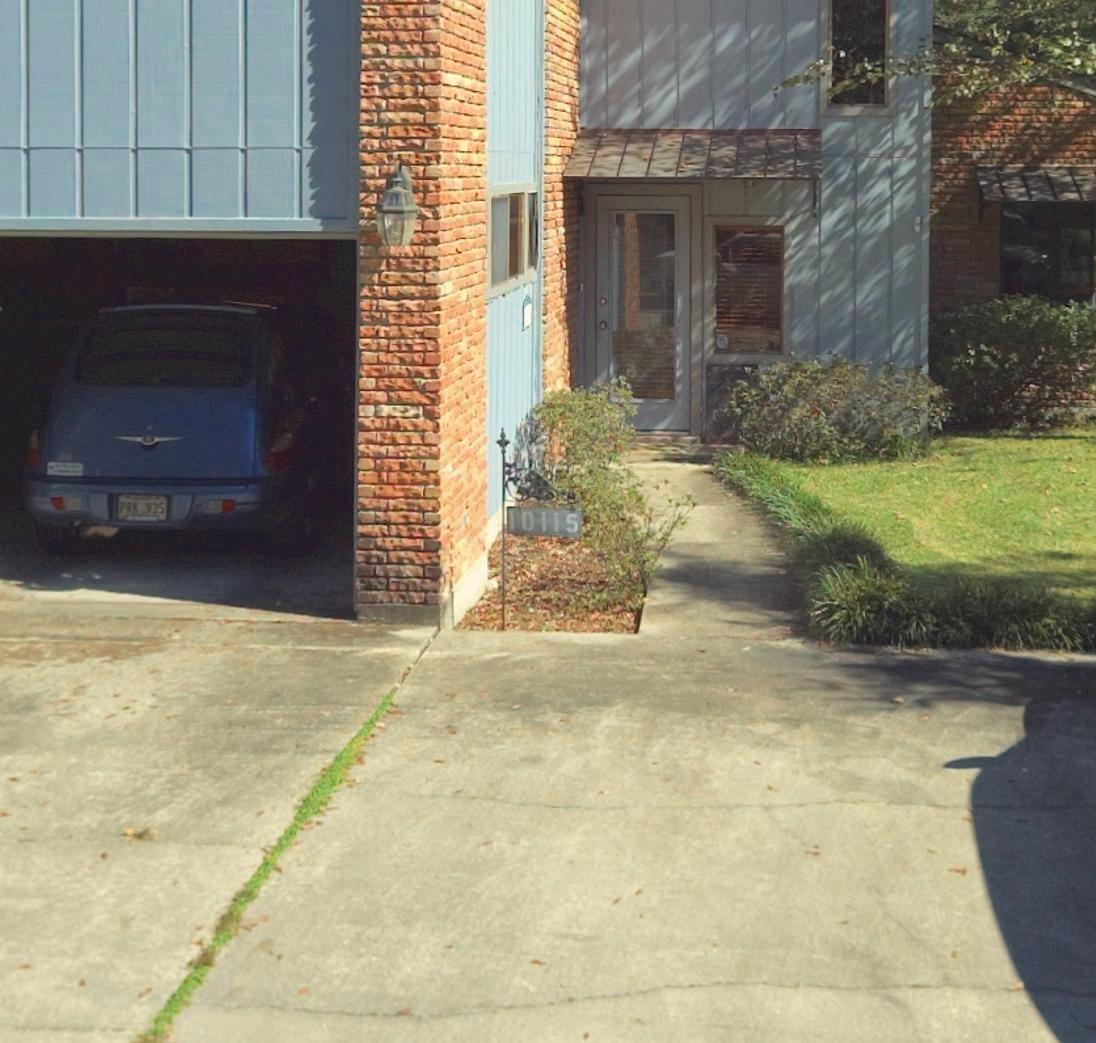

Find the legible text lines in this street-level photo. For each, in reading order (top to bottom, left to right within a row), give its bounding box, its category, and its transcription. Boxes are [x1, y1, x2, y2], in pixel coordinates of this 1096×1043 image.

[116, 499, 168, 519] None: PRK 935
[508, 508, 580, 535] StreetNumber: 10115